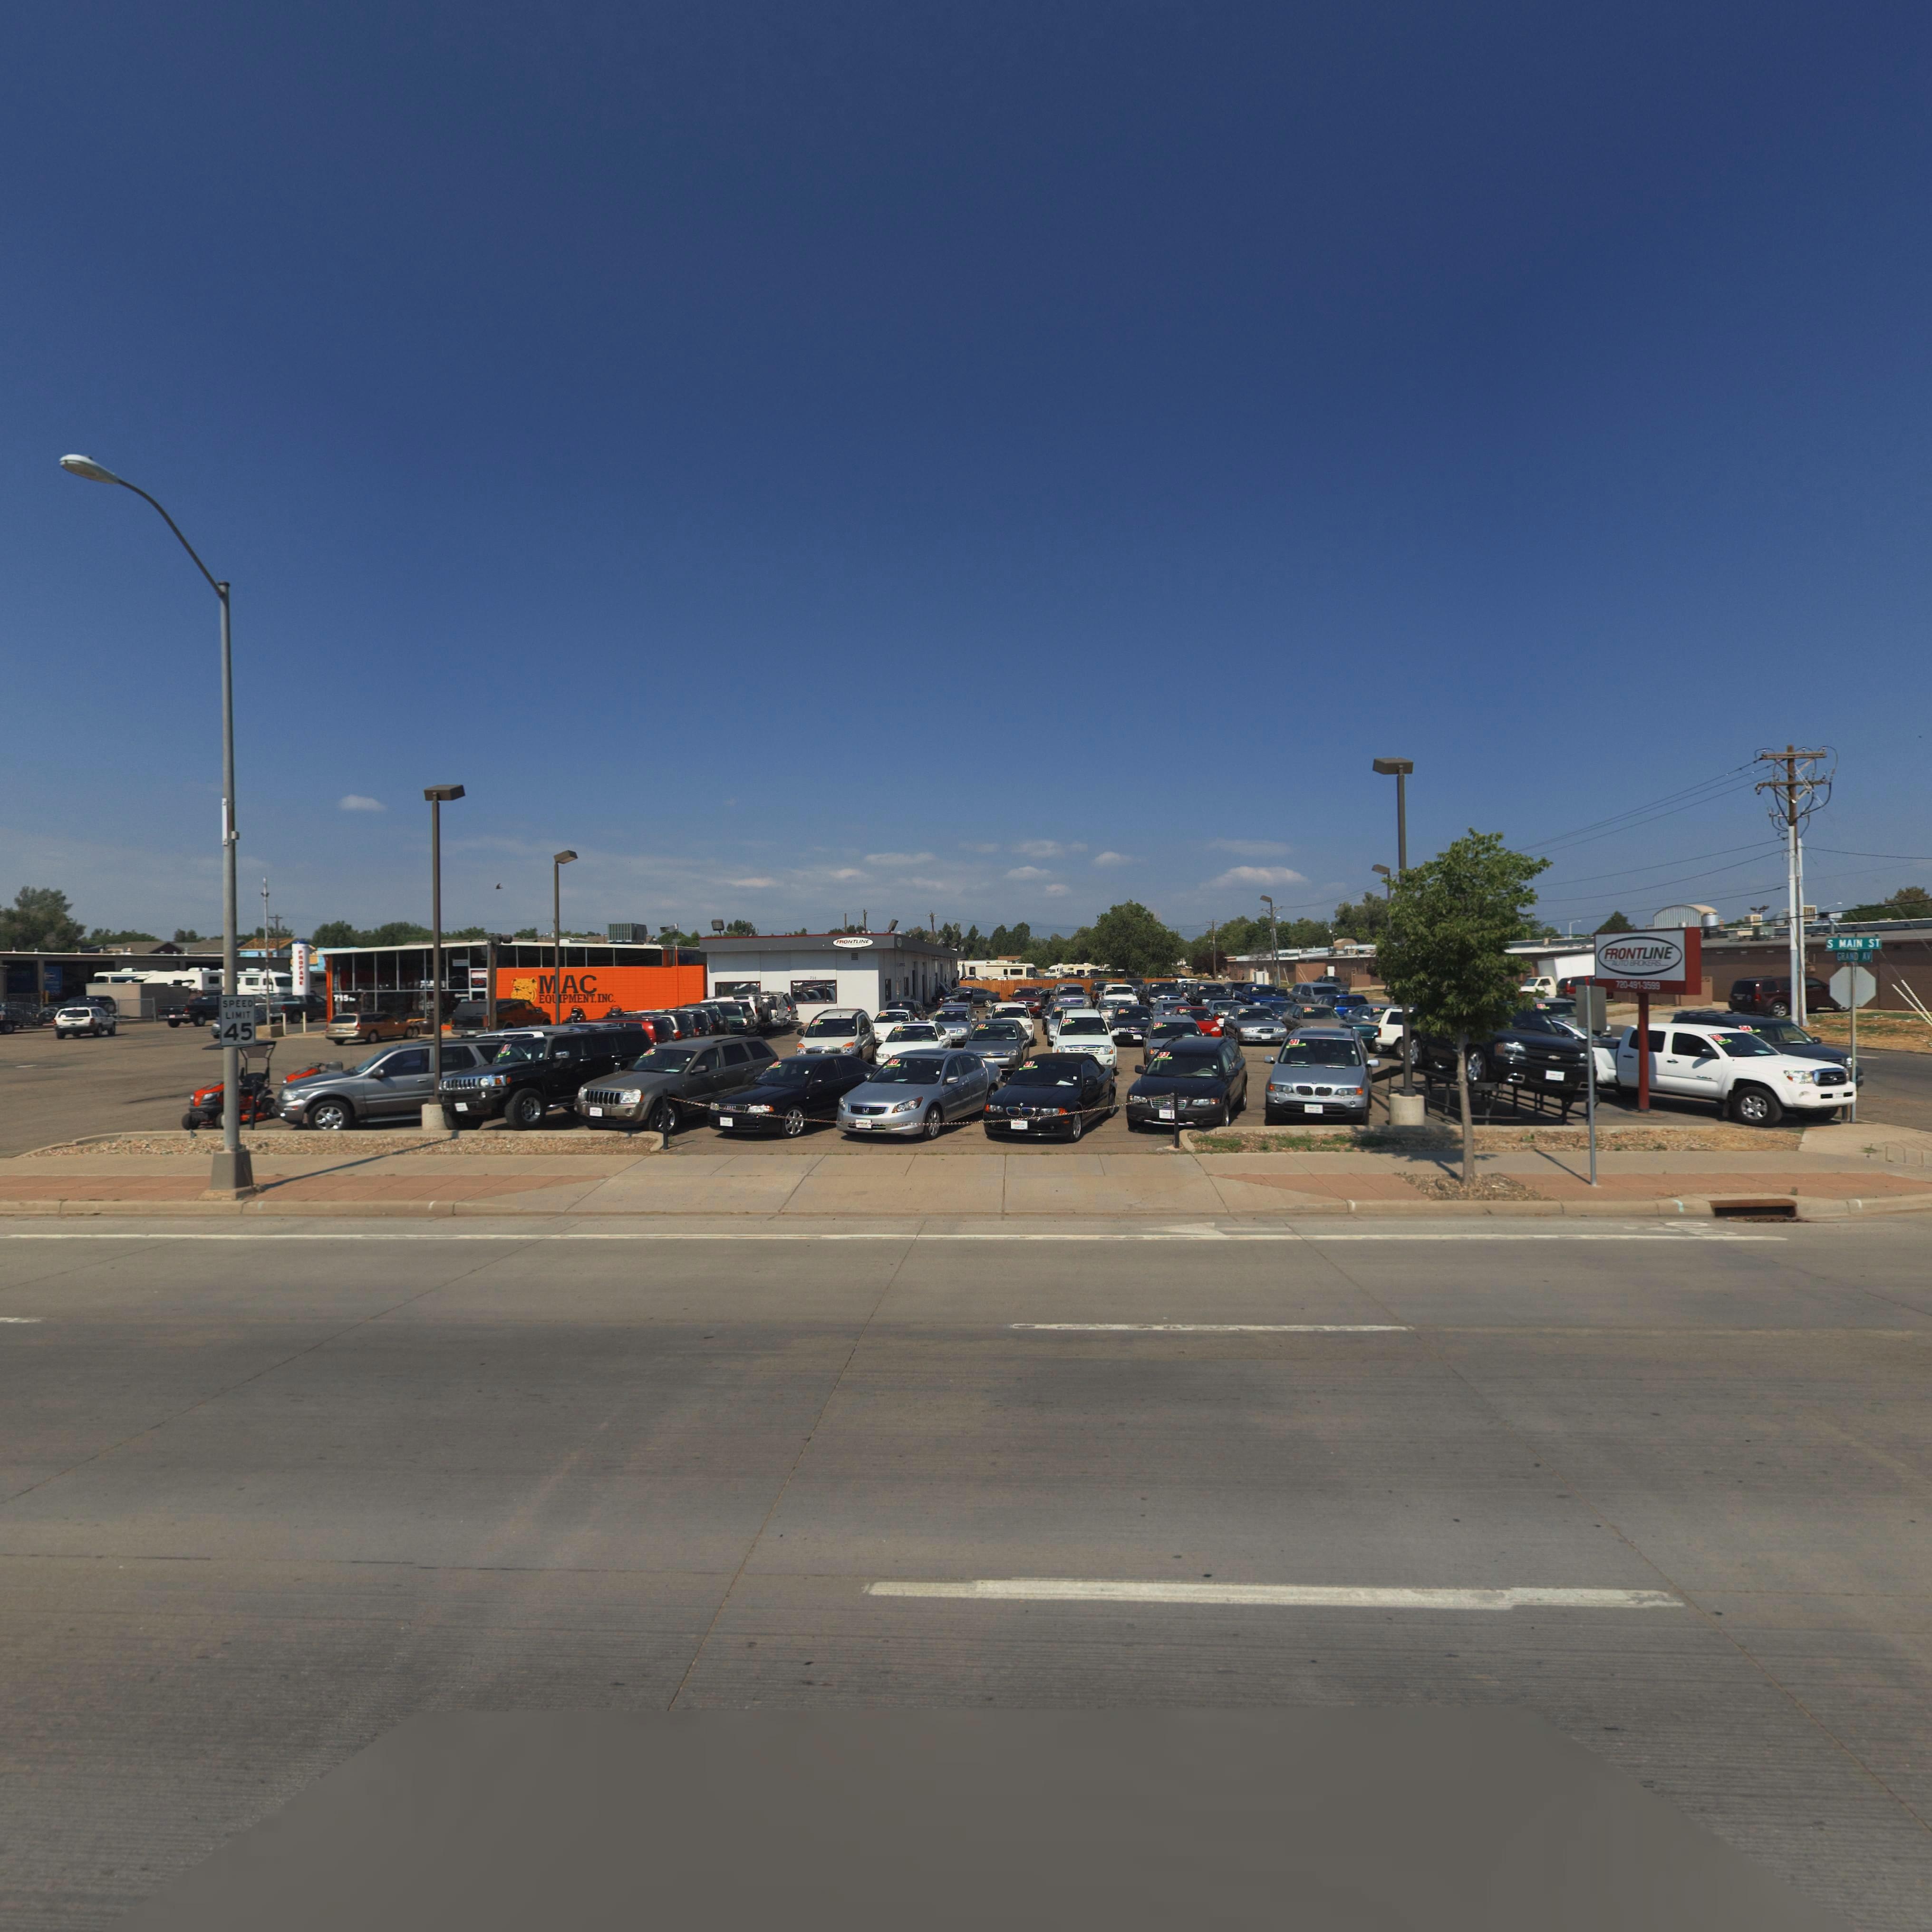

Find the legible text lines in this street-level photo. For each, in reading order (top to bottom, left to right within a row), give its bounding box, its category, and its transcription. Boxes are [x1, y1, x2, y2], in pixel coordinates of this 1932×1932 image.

[836, 939, 870, 944] BusinessName: FRONTLINE
[1826, 938, 1881, 948] StreetName: S MAIN ST
[1604, 946, 1674, 959] BusinessName: FRONTLINE
[1836, 951, 1872, 961] StreetName: GRAND AV
[1611, 959, 1662, 966] BusinessName: AUTO BROKERS
[809, 976, 816, 980] StreetNumber: **1
[538, 974, 597, 994] StreetNumber: MAC
[333, 994, 349, 1002] StreetNumber: 715
[539, 993, 616, 1004] BusinessName: EQ**PMENT, INC.